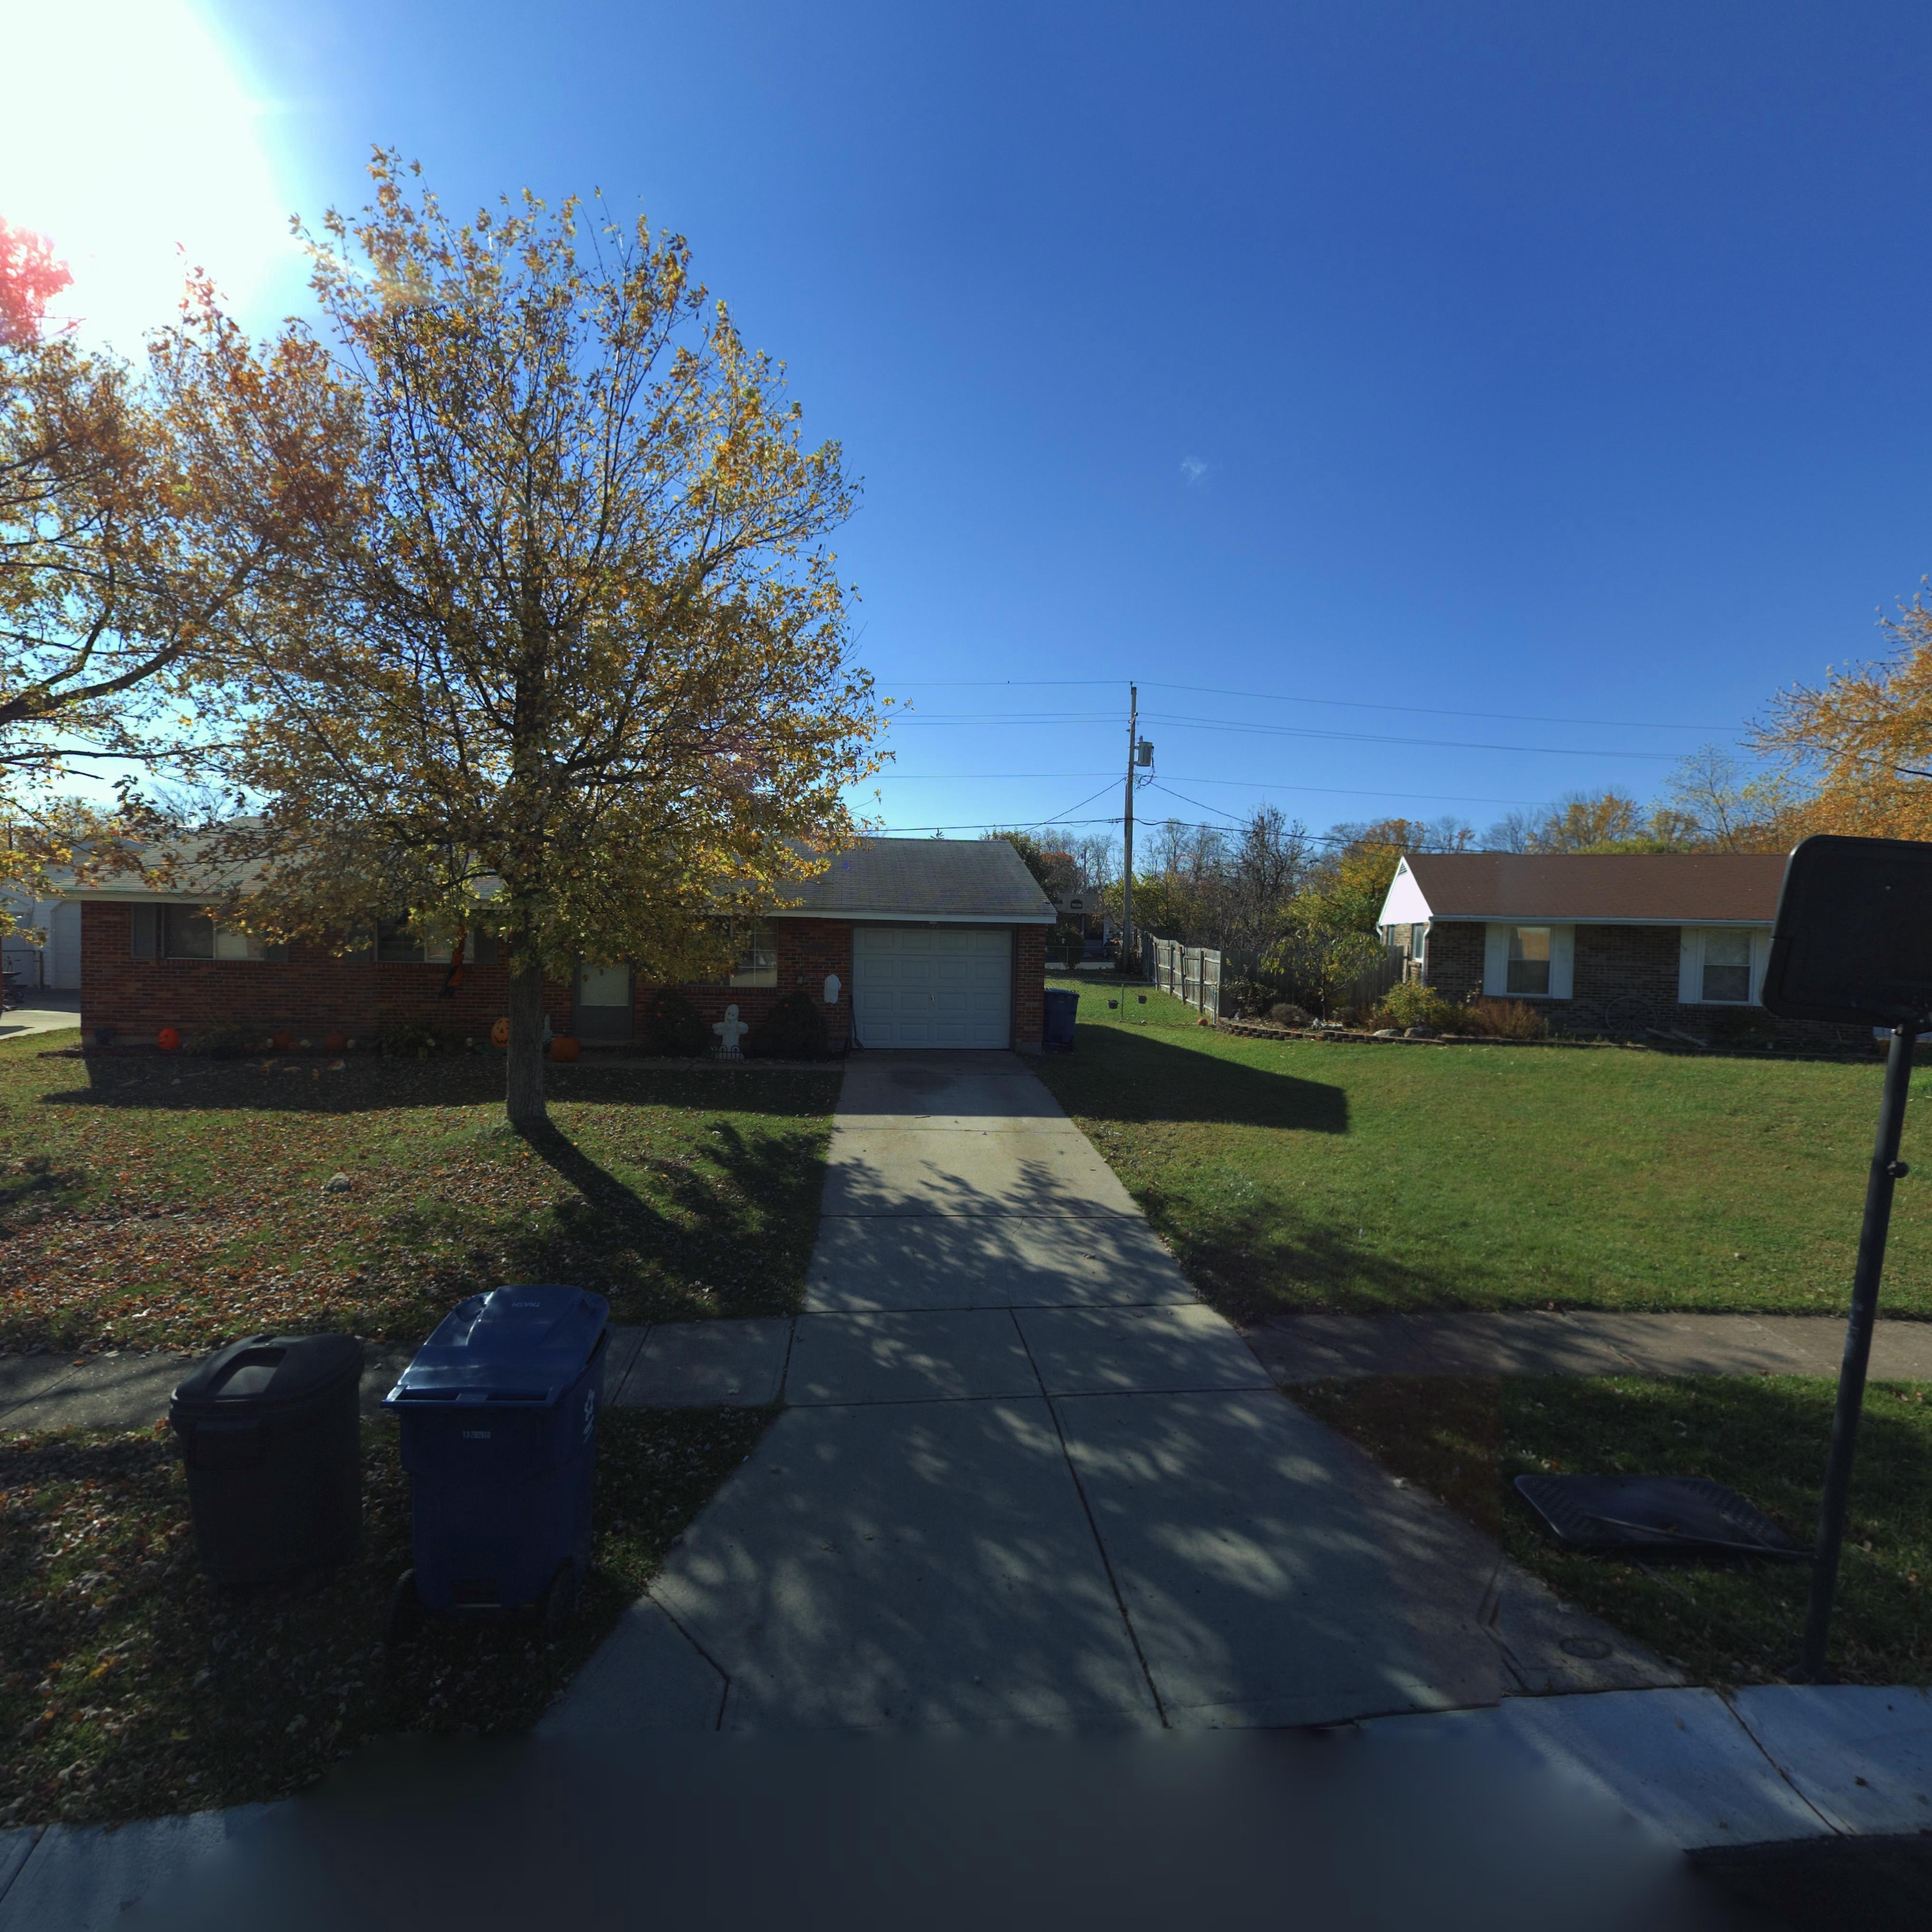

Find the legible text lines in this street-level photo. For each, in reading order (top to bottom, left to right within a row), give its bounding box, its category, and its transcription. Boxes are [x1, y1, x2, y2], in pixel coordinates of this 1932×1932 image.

[921, 922, 926, 929] StreetNumber: 6